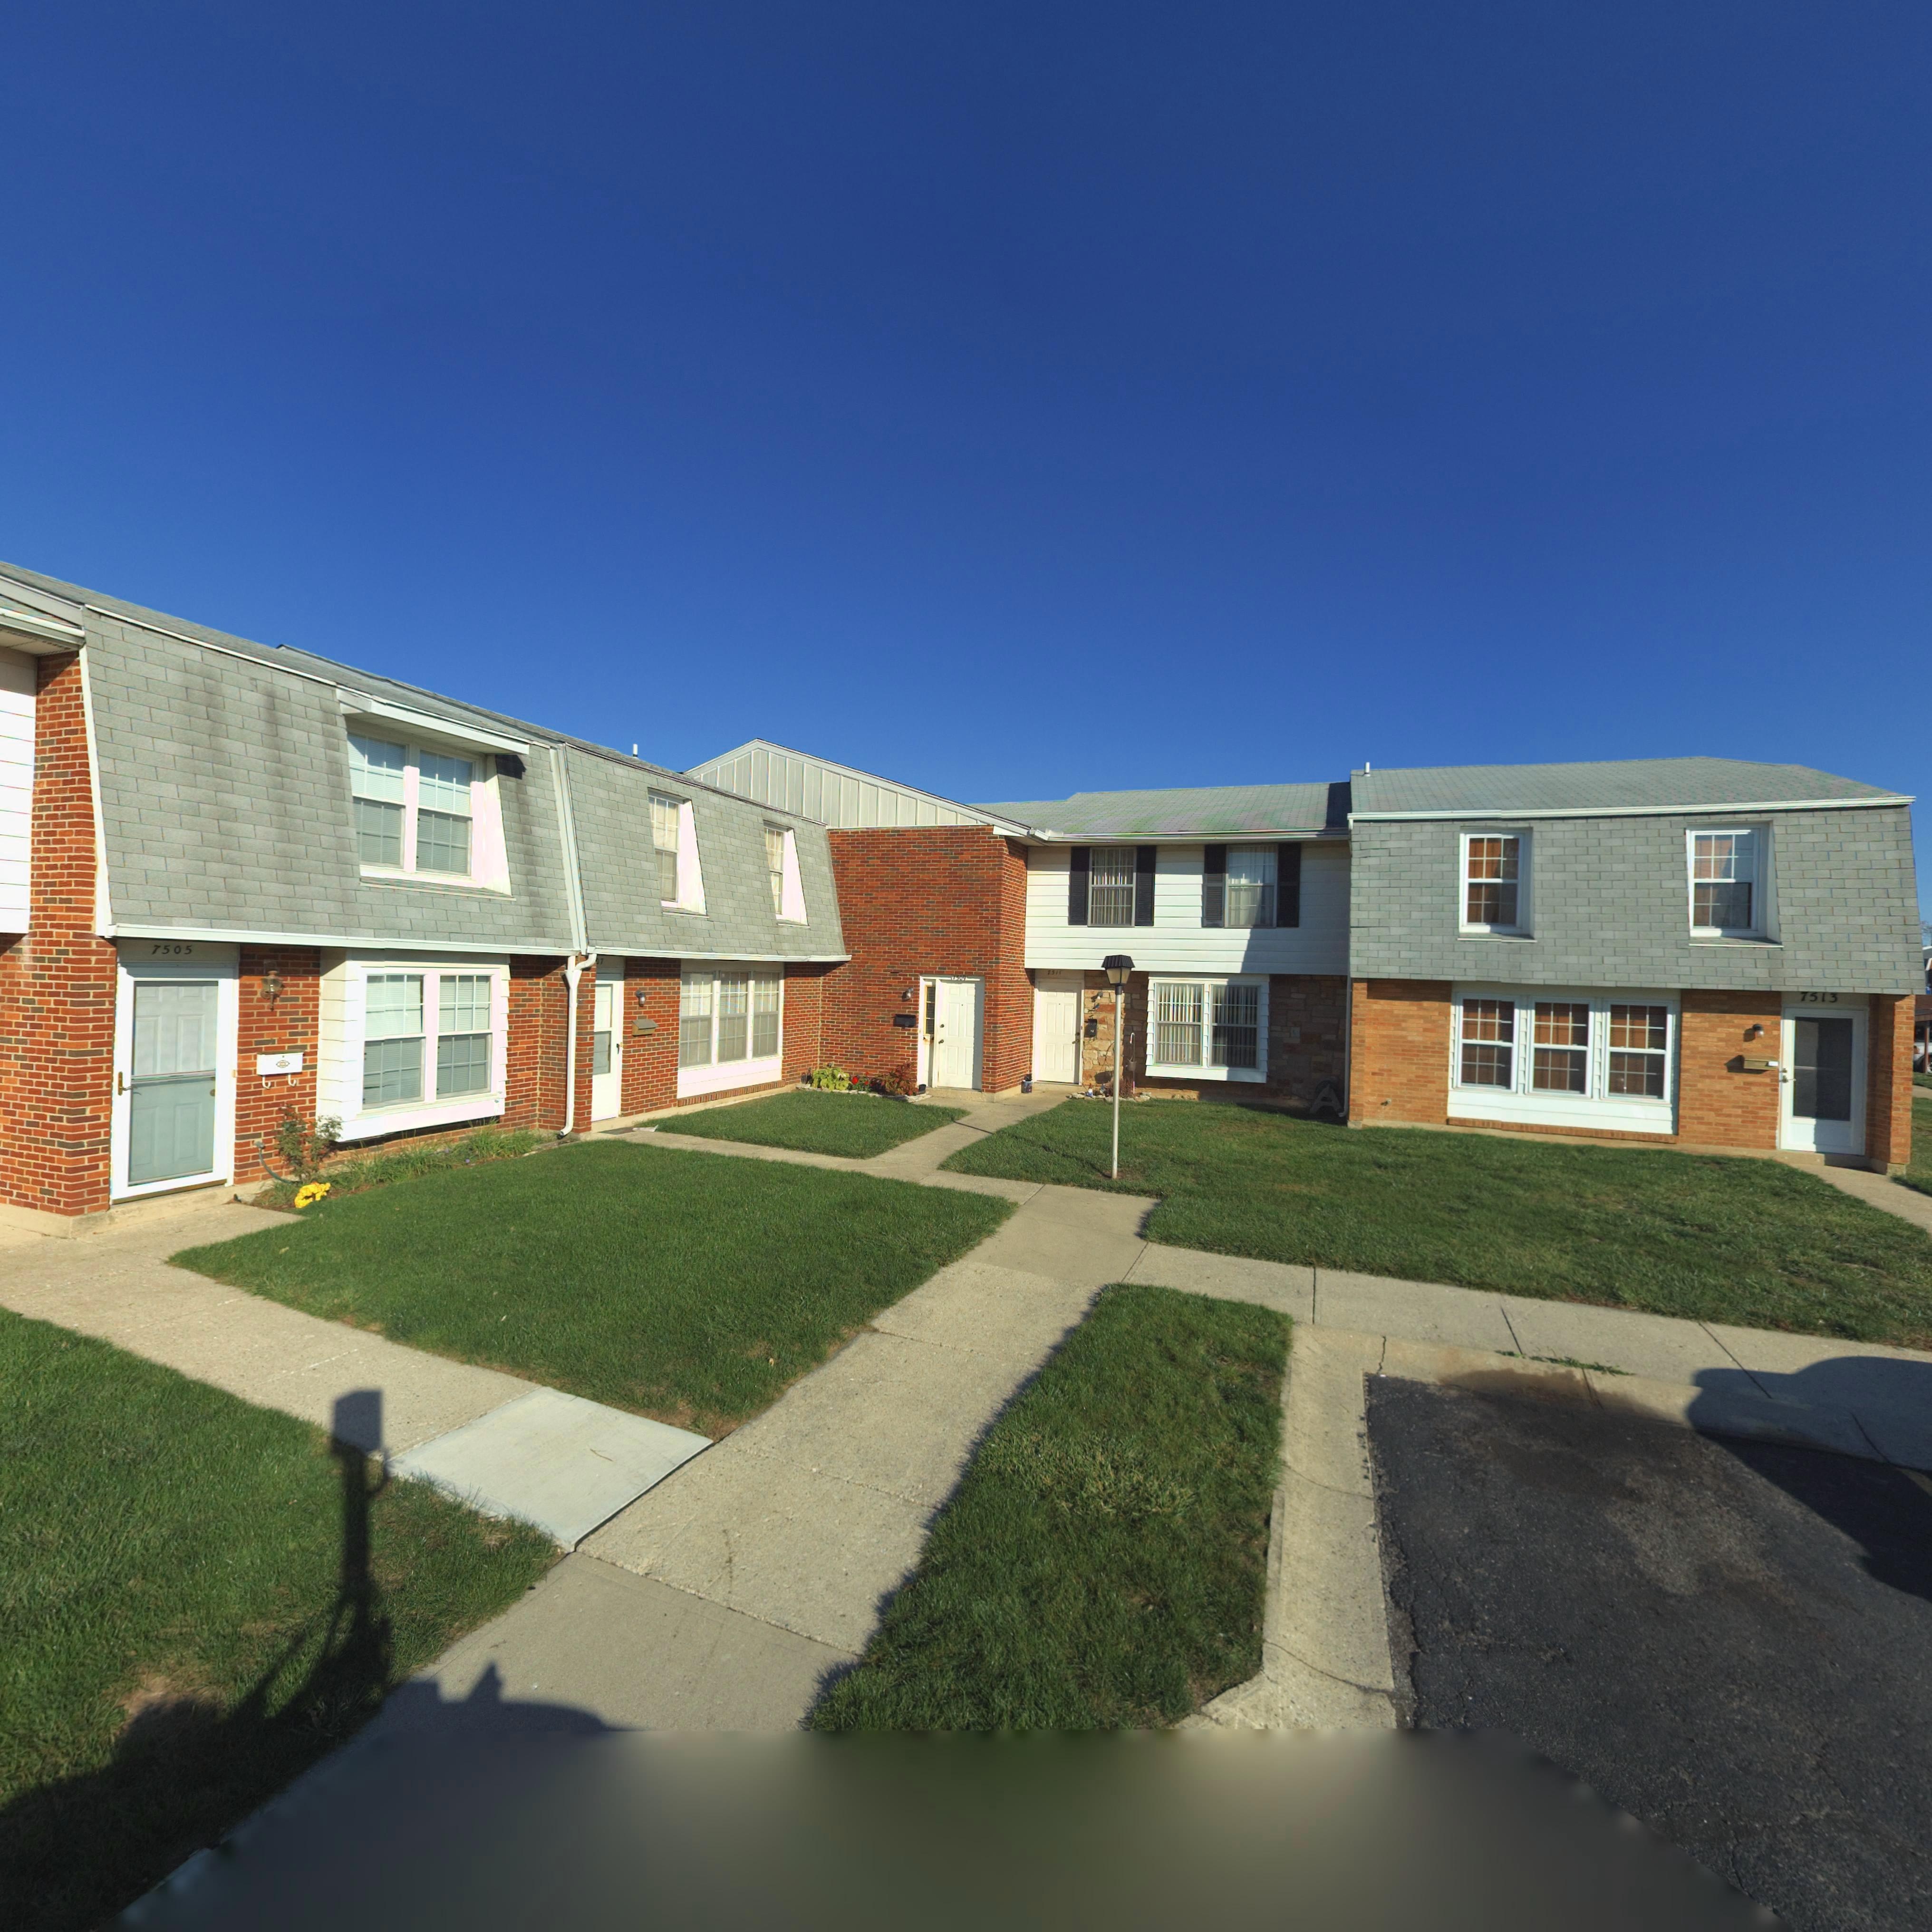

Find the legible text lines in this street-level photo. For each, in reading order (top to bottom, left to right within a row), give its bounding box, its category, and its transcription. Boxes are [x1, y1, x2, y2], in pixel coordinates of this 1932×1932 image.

[151, 944, 193, 955] StreetNumber: 7505
[596, 957, 604, 965] StreetNumber: 07
[1047, 970, 1062, 975] StreetNumber: 7511
[952, 975, 966, 981] StreetNumber: 7509